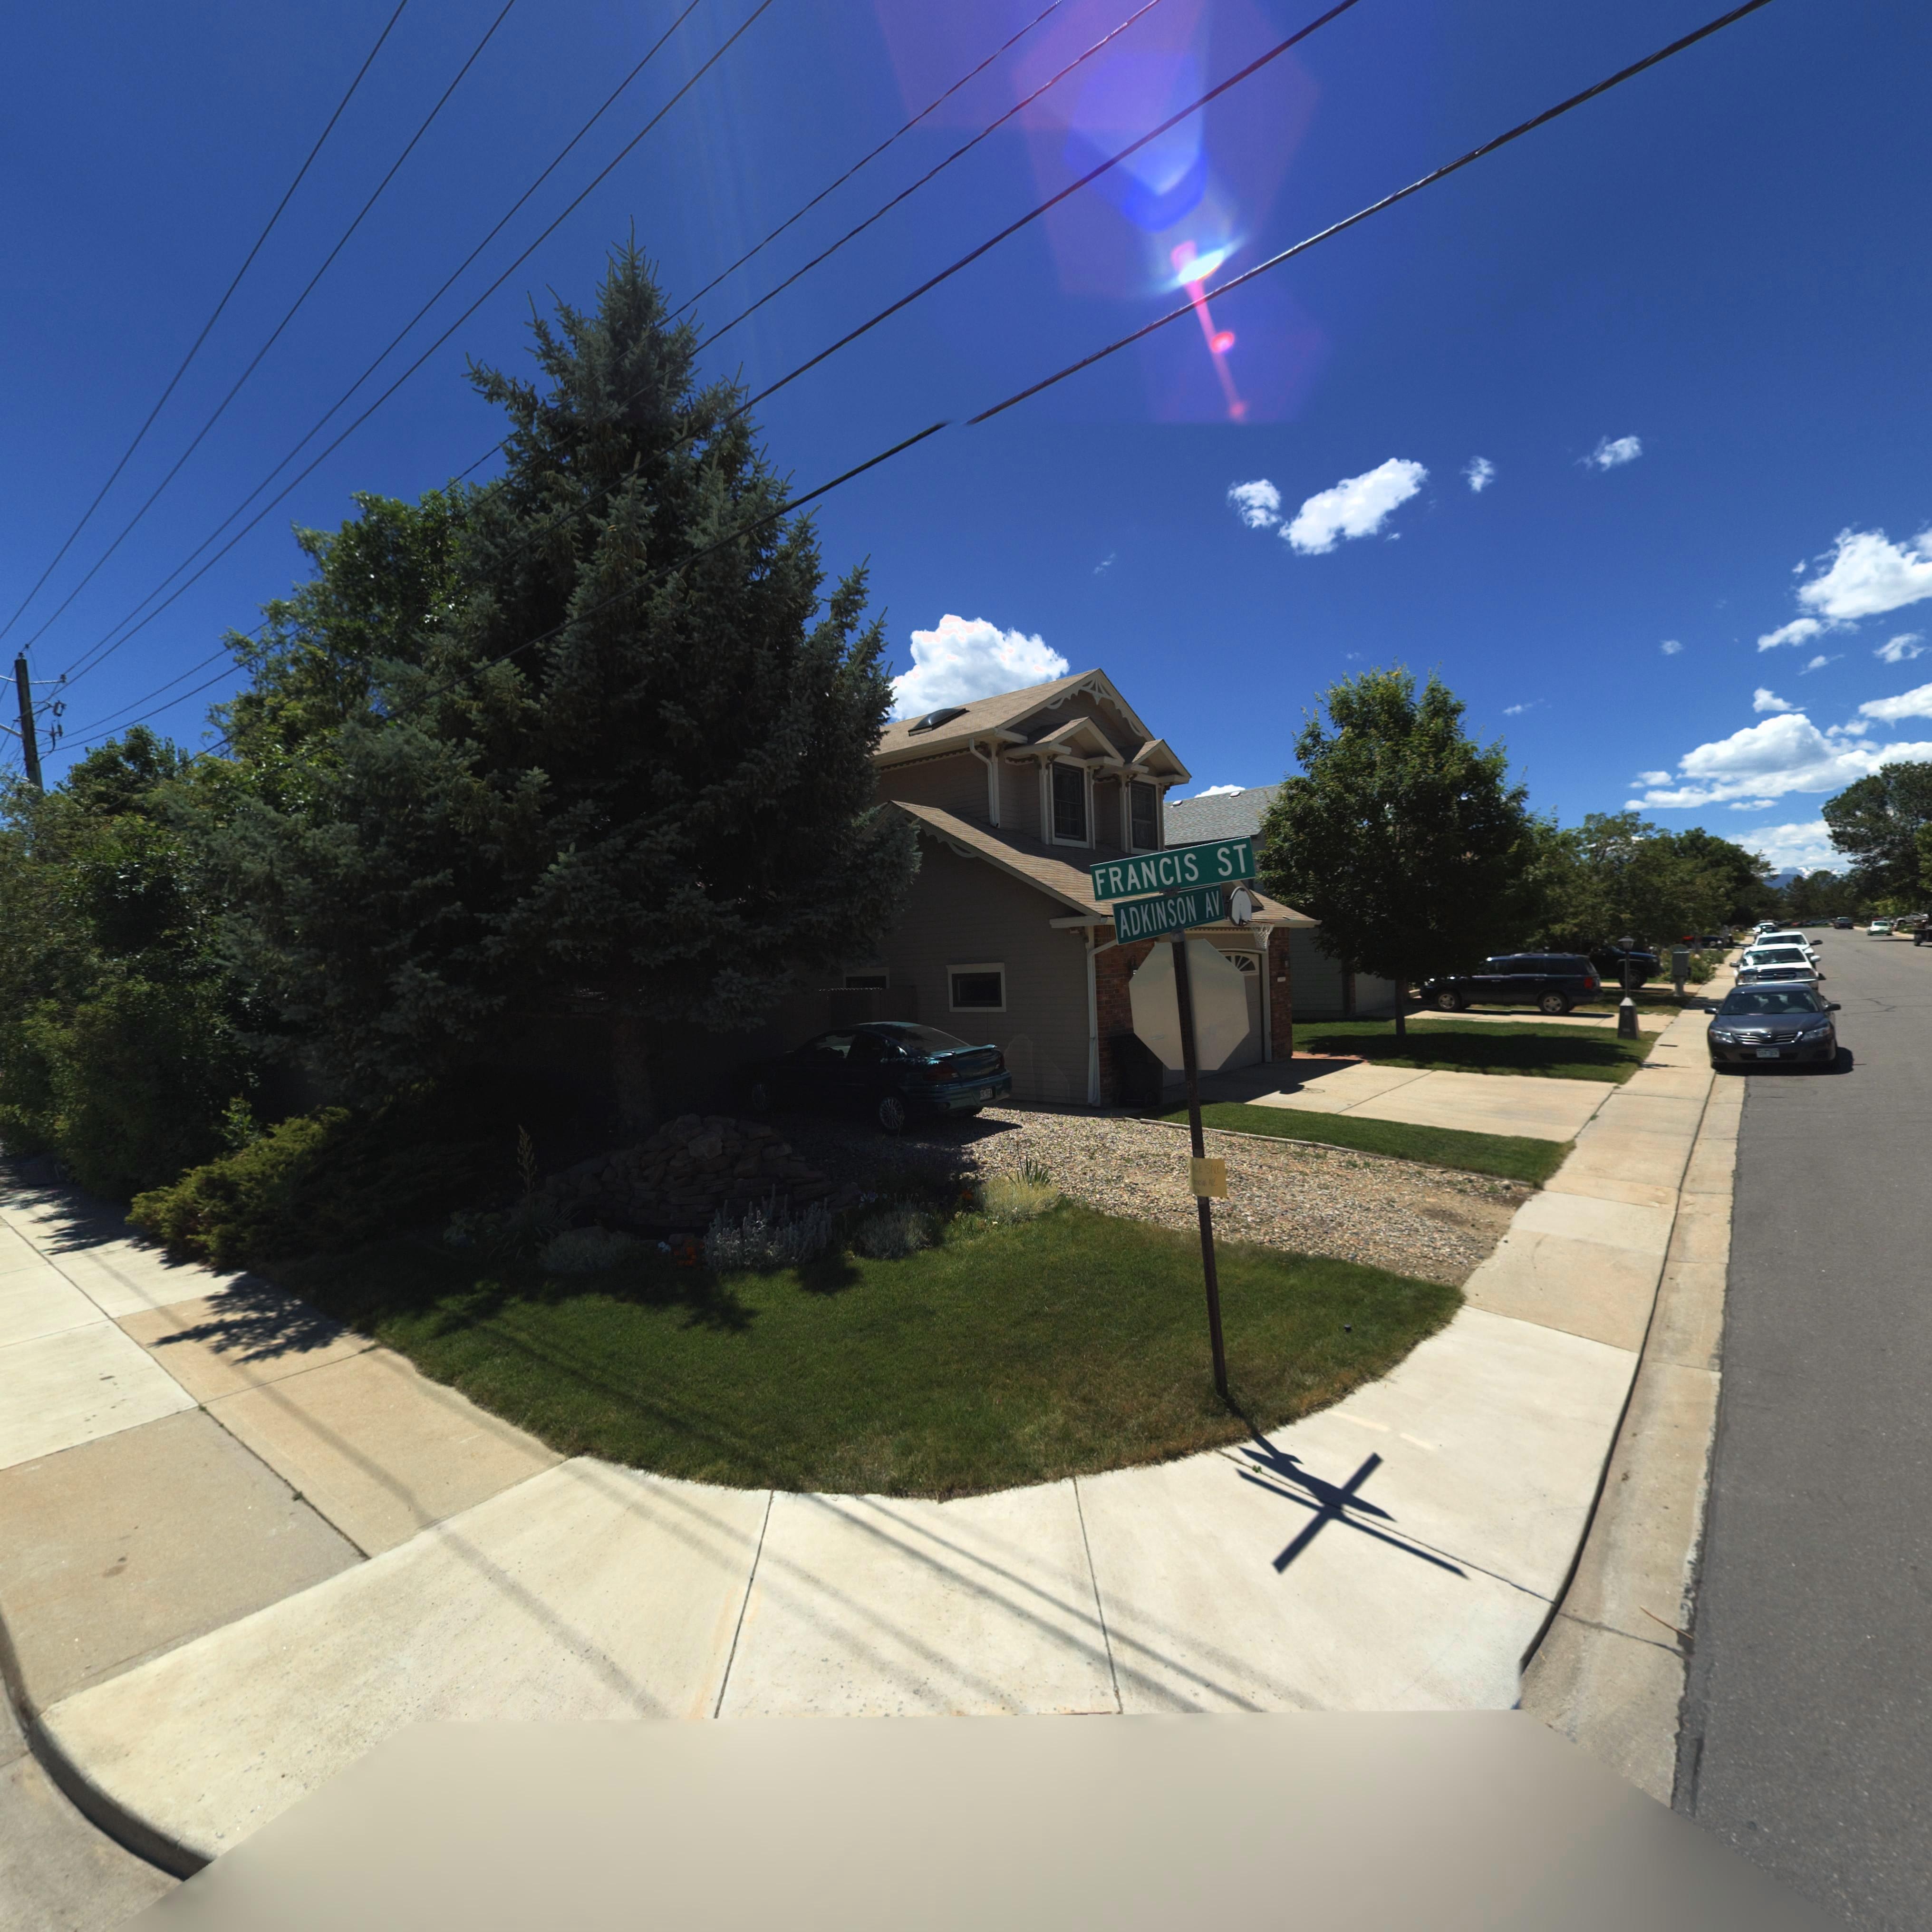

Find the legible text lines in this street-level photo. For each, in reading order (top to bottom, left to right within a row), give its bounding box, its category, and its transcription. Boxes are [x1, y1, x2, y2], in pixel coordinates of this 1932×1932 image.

[1094, 843, 1247, 896] StreetName: FRANCIS ST
[1120, 889, 1219, 938] StreetName: ADKINSON AV